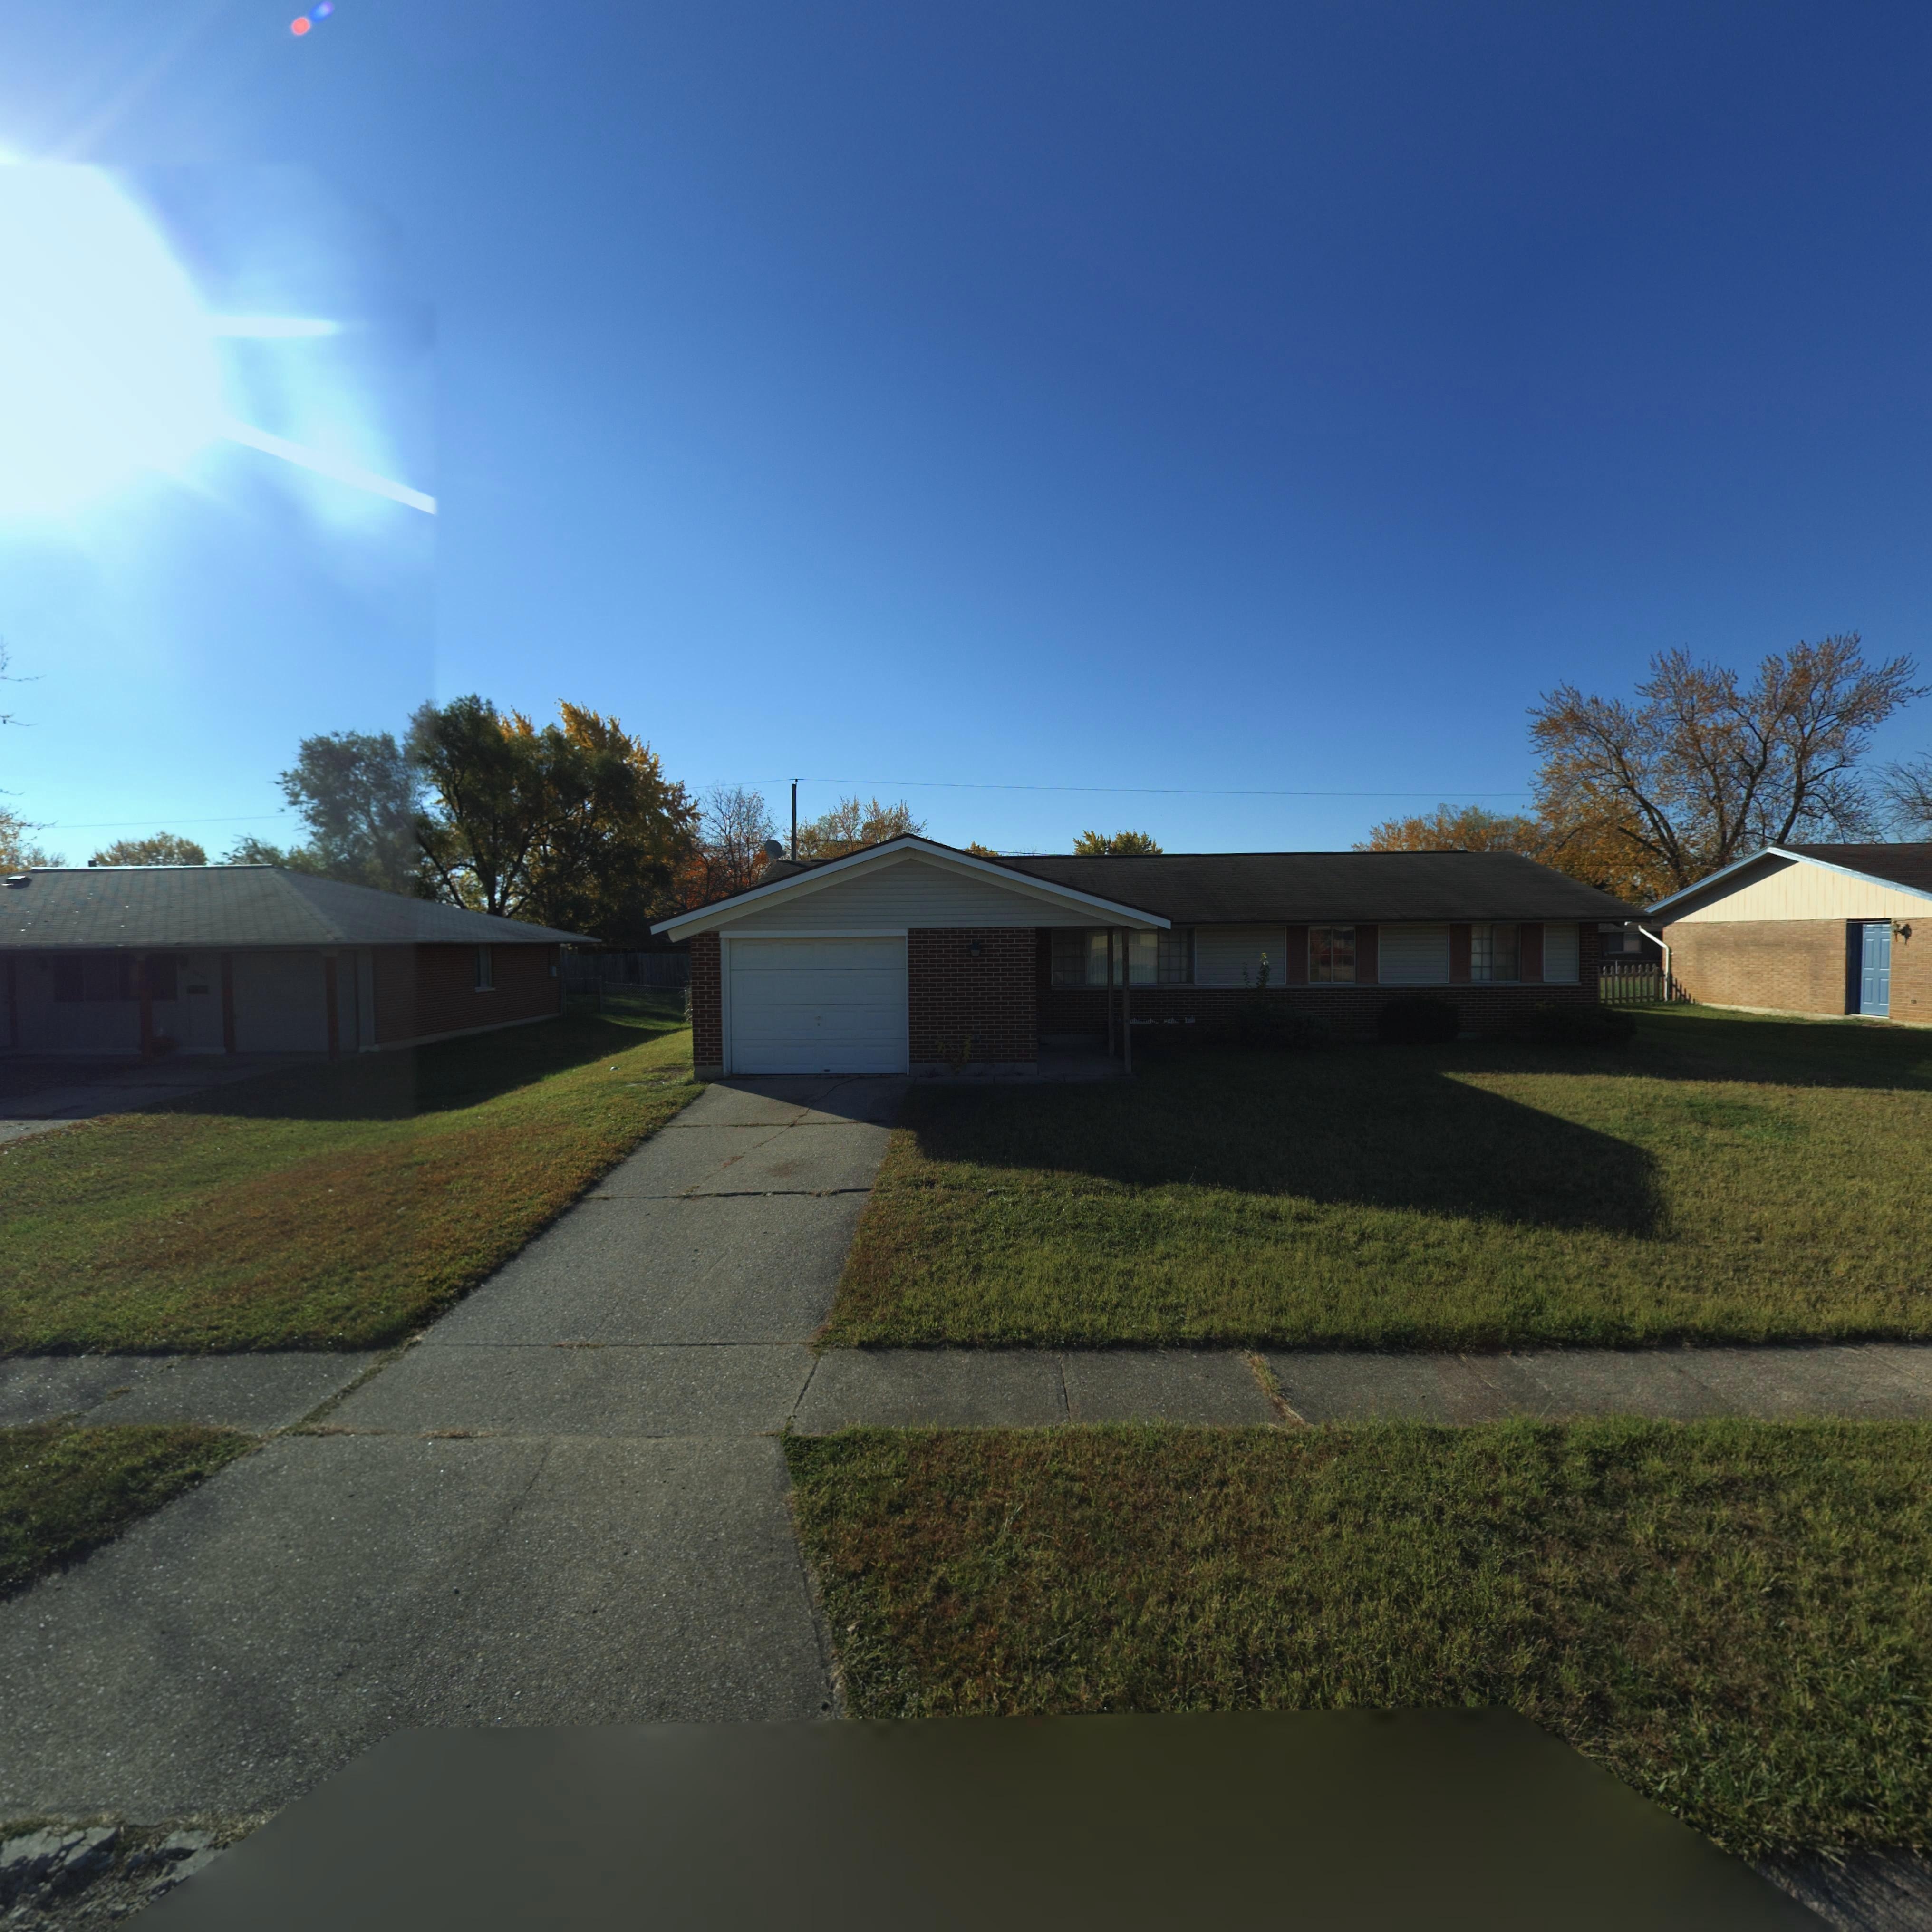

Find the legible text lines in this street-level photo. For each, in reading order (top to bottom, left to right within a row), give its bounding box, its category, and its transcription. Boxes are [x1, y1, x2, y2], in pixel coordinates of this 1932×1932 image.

[1122, 949, 1130, 980] StreetNumber: 794*